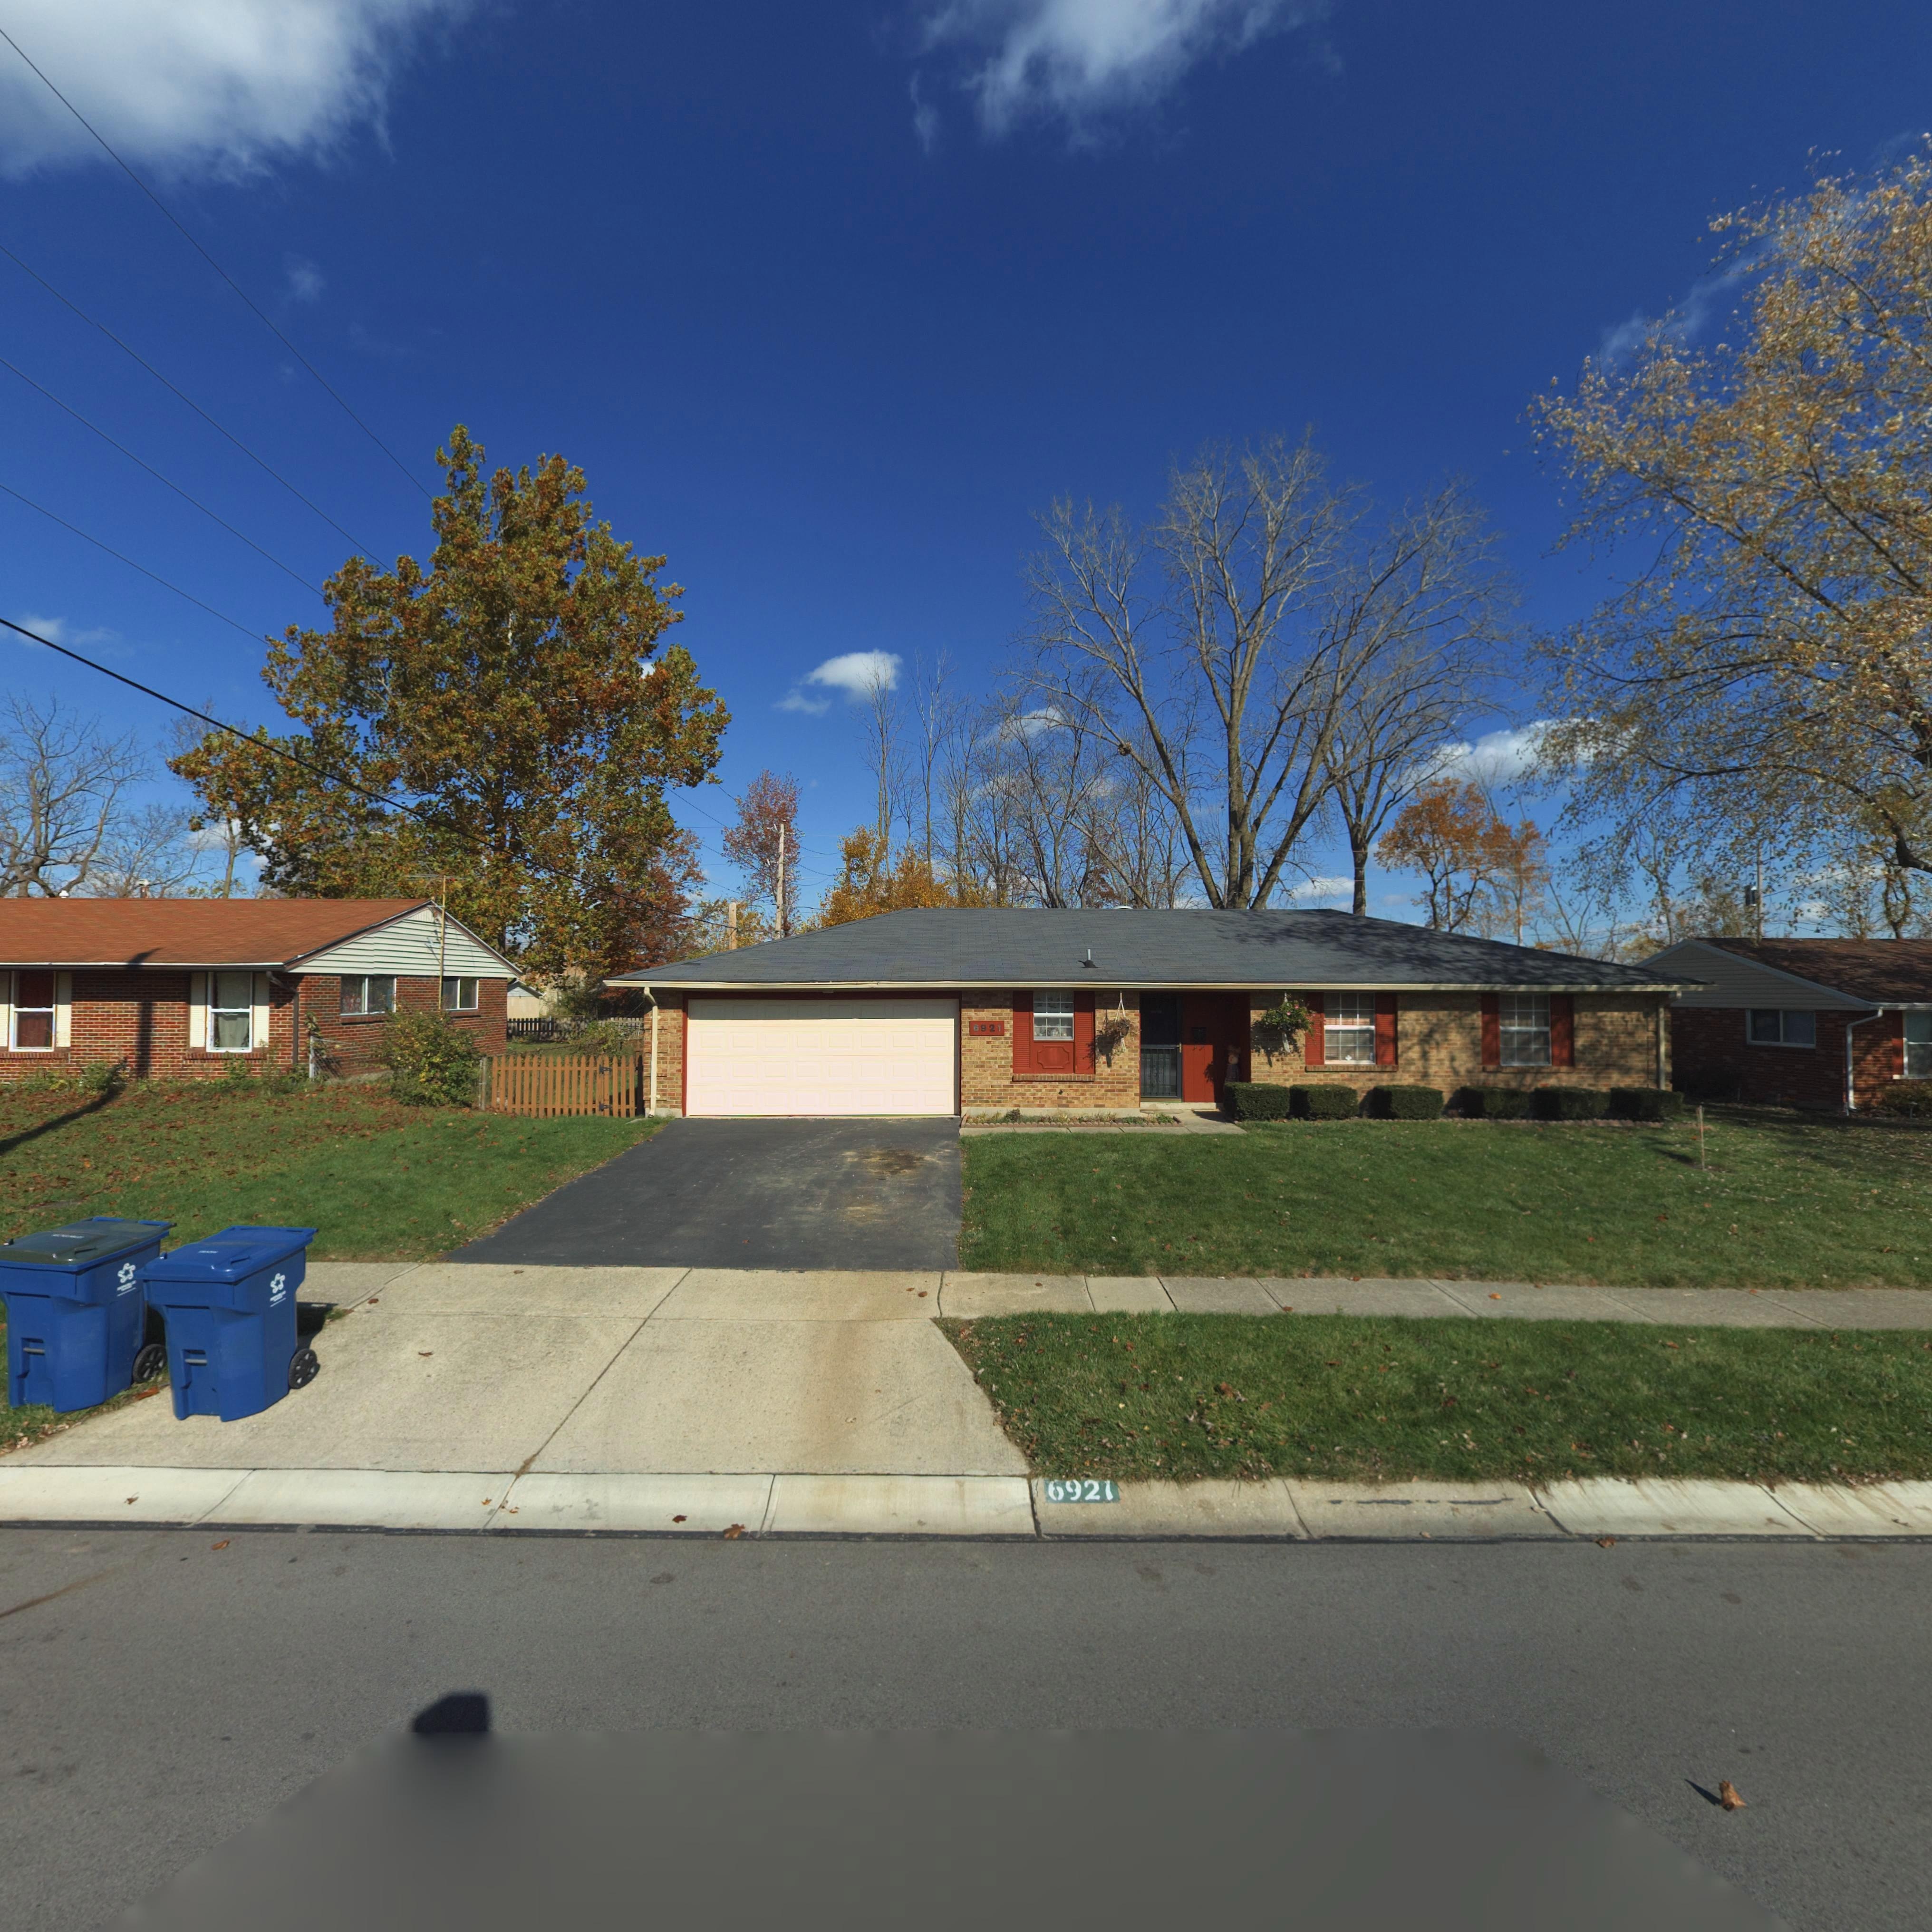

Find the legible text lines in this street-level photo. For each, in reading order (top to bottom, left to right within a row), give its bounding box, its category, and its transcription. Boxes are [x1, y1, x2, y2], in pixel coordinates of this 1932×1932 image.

[972, 1023, 1002, 1034] StreetNumber: 6921
[1045, 1477, 1116, 1503] StreetNumber: 6921